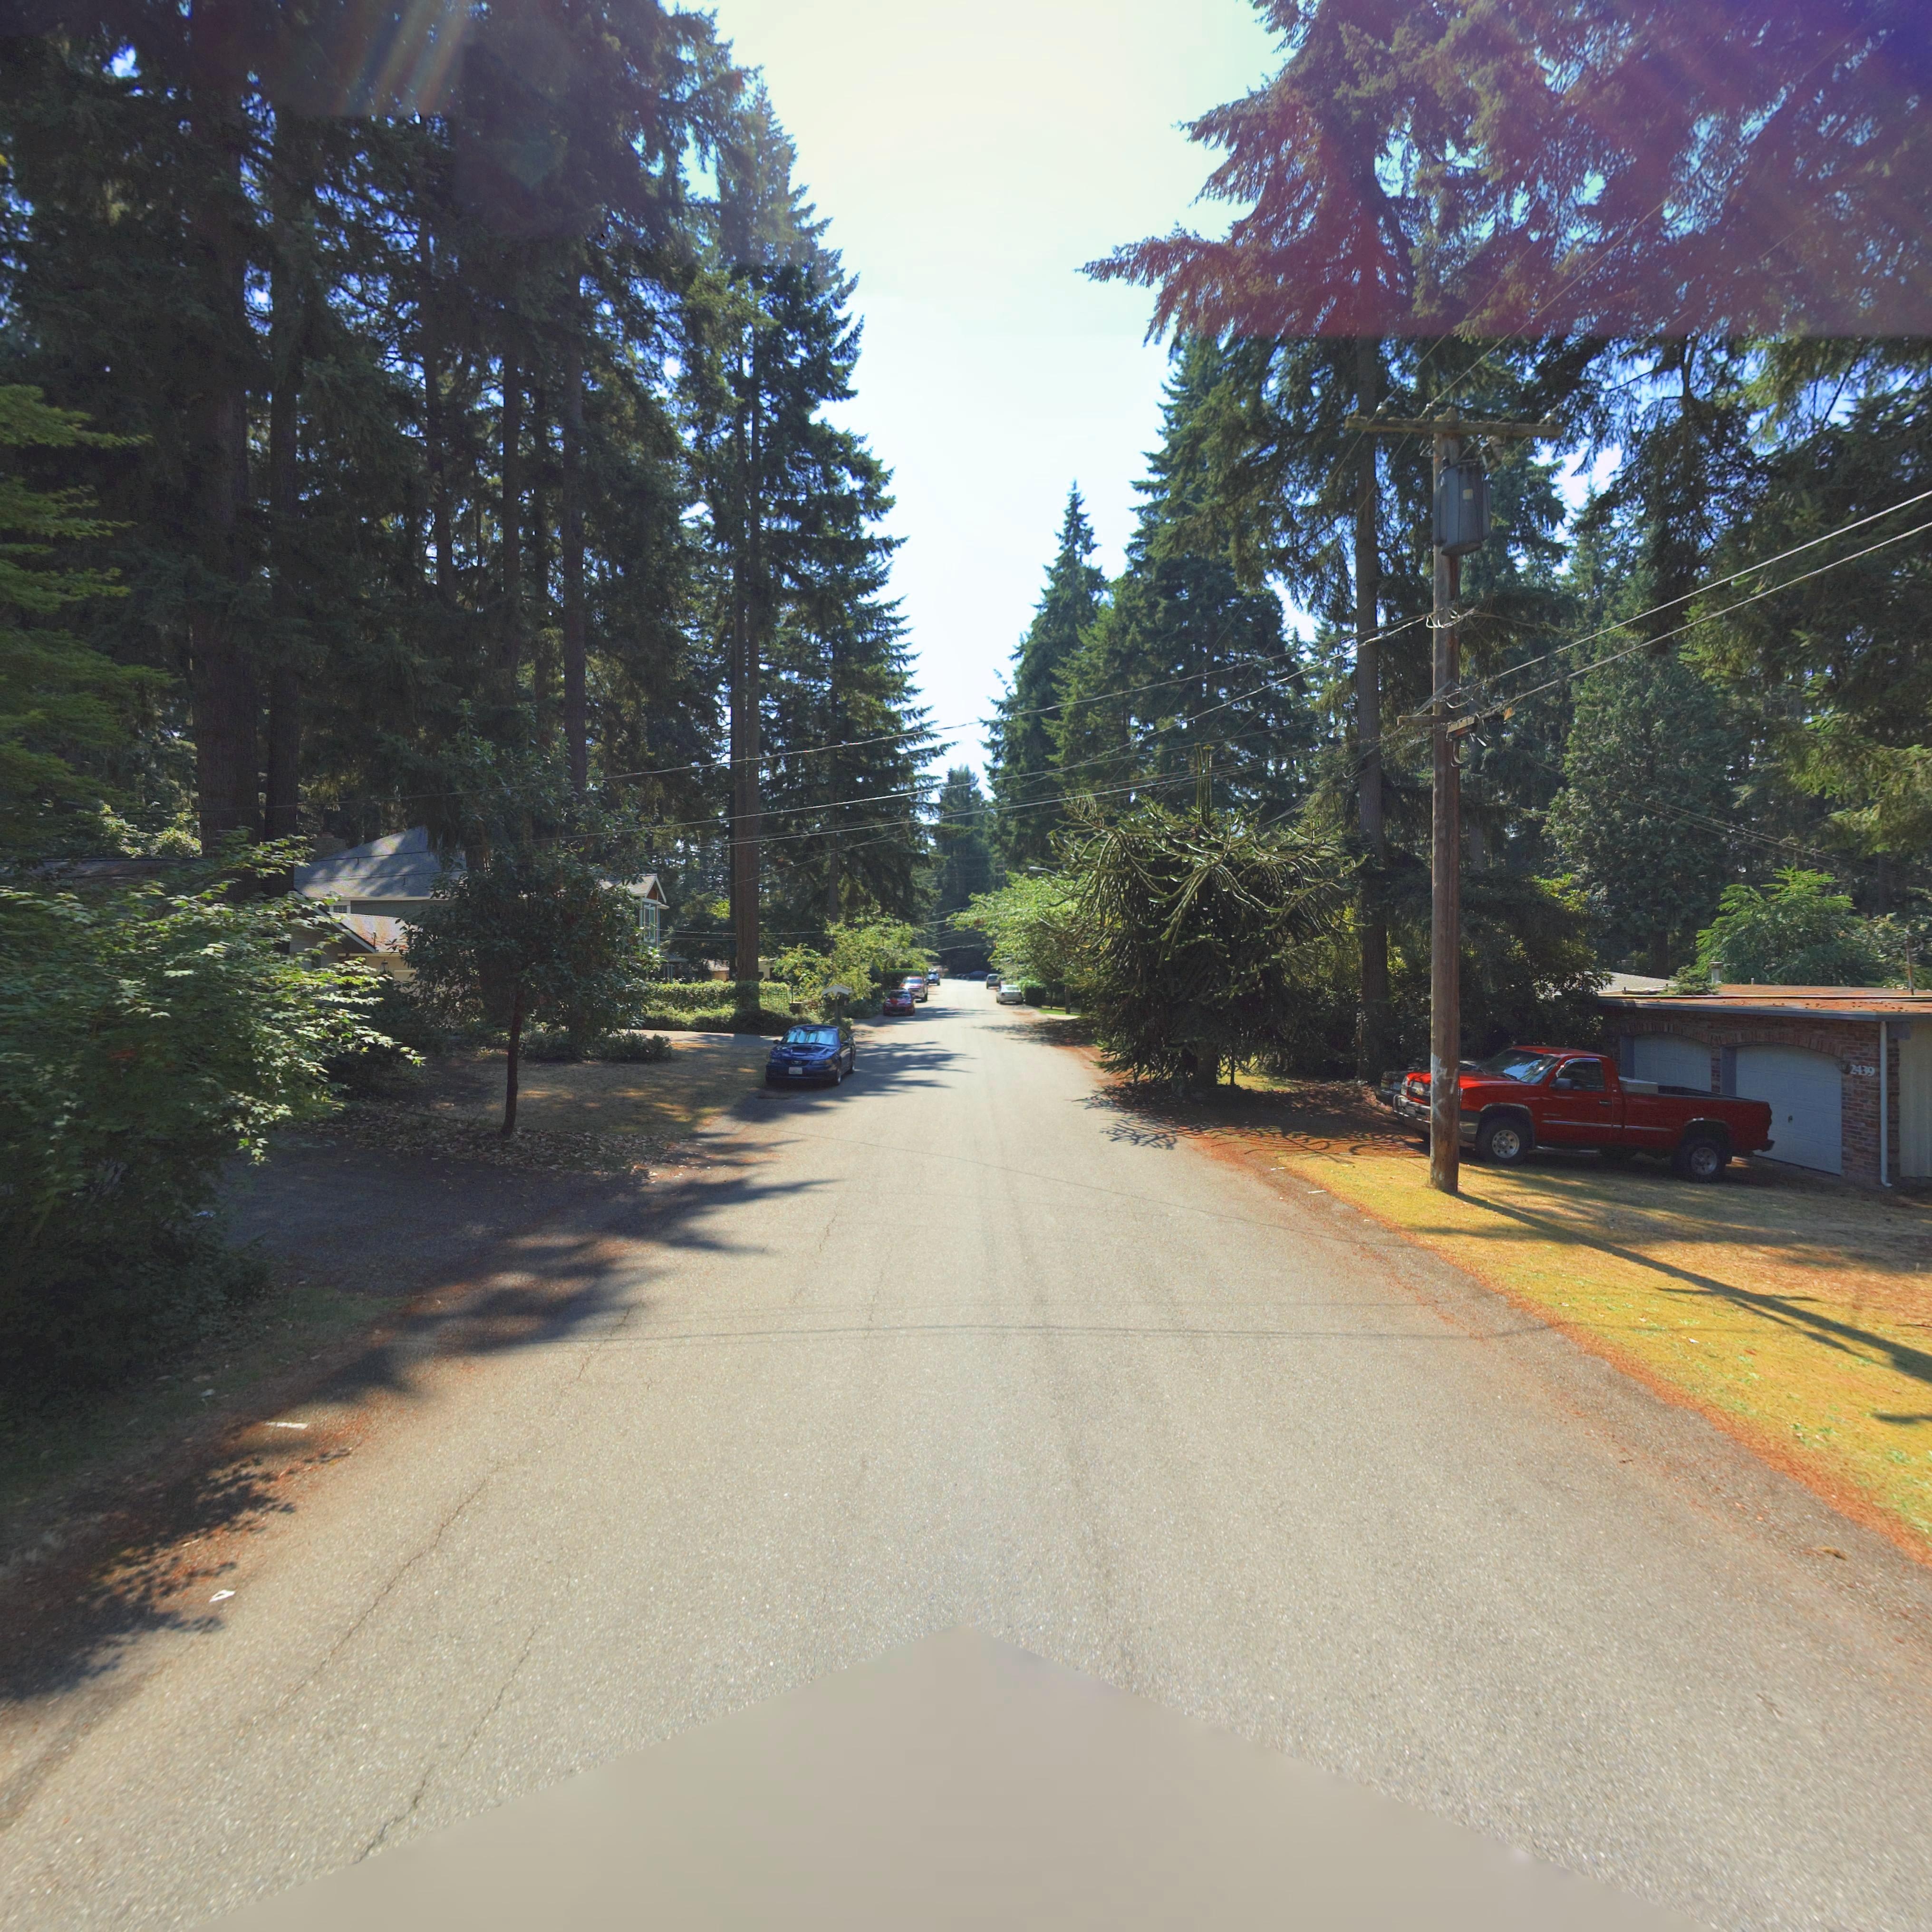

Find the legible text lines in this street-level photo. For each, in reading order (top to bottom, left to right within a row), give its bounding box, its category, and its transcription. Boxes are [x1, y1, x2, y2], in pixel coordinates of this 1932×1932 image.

[1849, 1063, 1876, 1077] StreetNumber: 2439